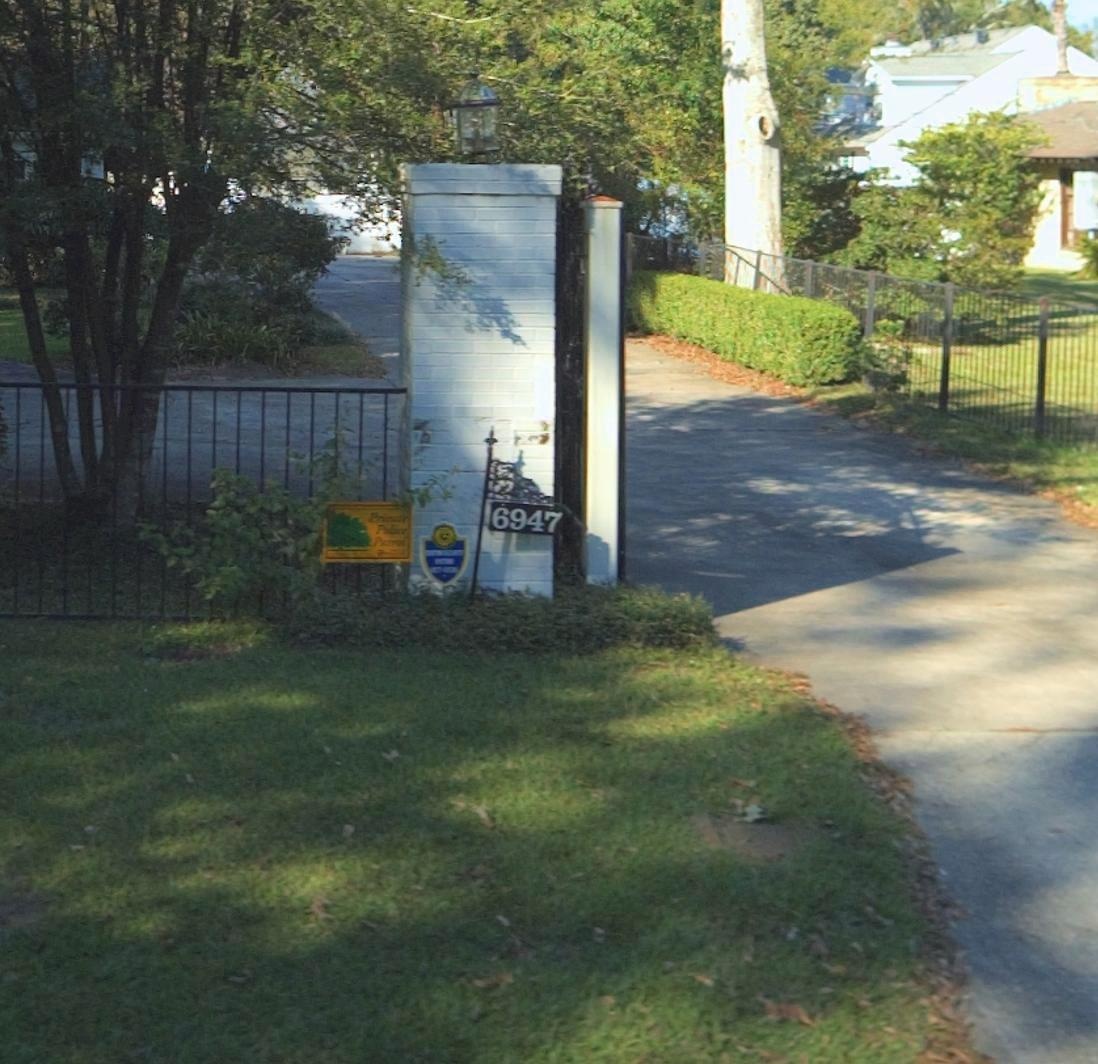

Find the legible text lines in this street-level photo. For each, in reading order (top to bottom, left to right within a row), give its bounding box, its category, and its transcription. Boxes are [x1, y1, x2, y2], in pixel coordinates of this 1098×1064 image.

[490, 506, 568, 534] StreetNumber: 6947
[374, 523, 410, 536] None: Police
[371, 535, 407, 548] None: Patrol